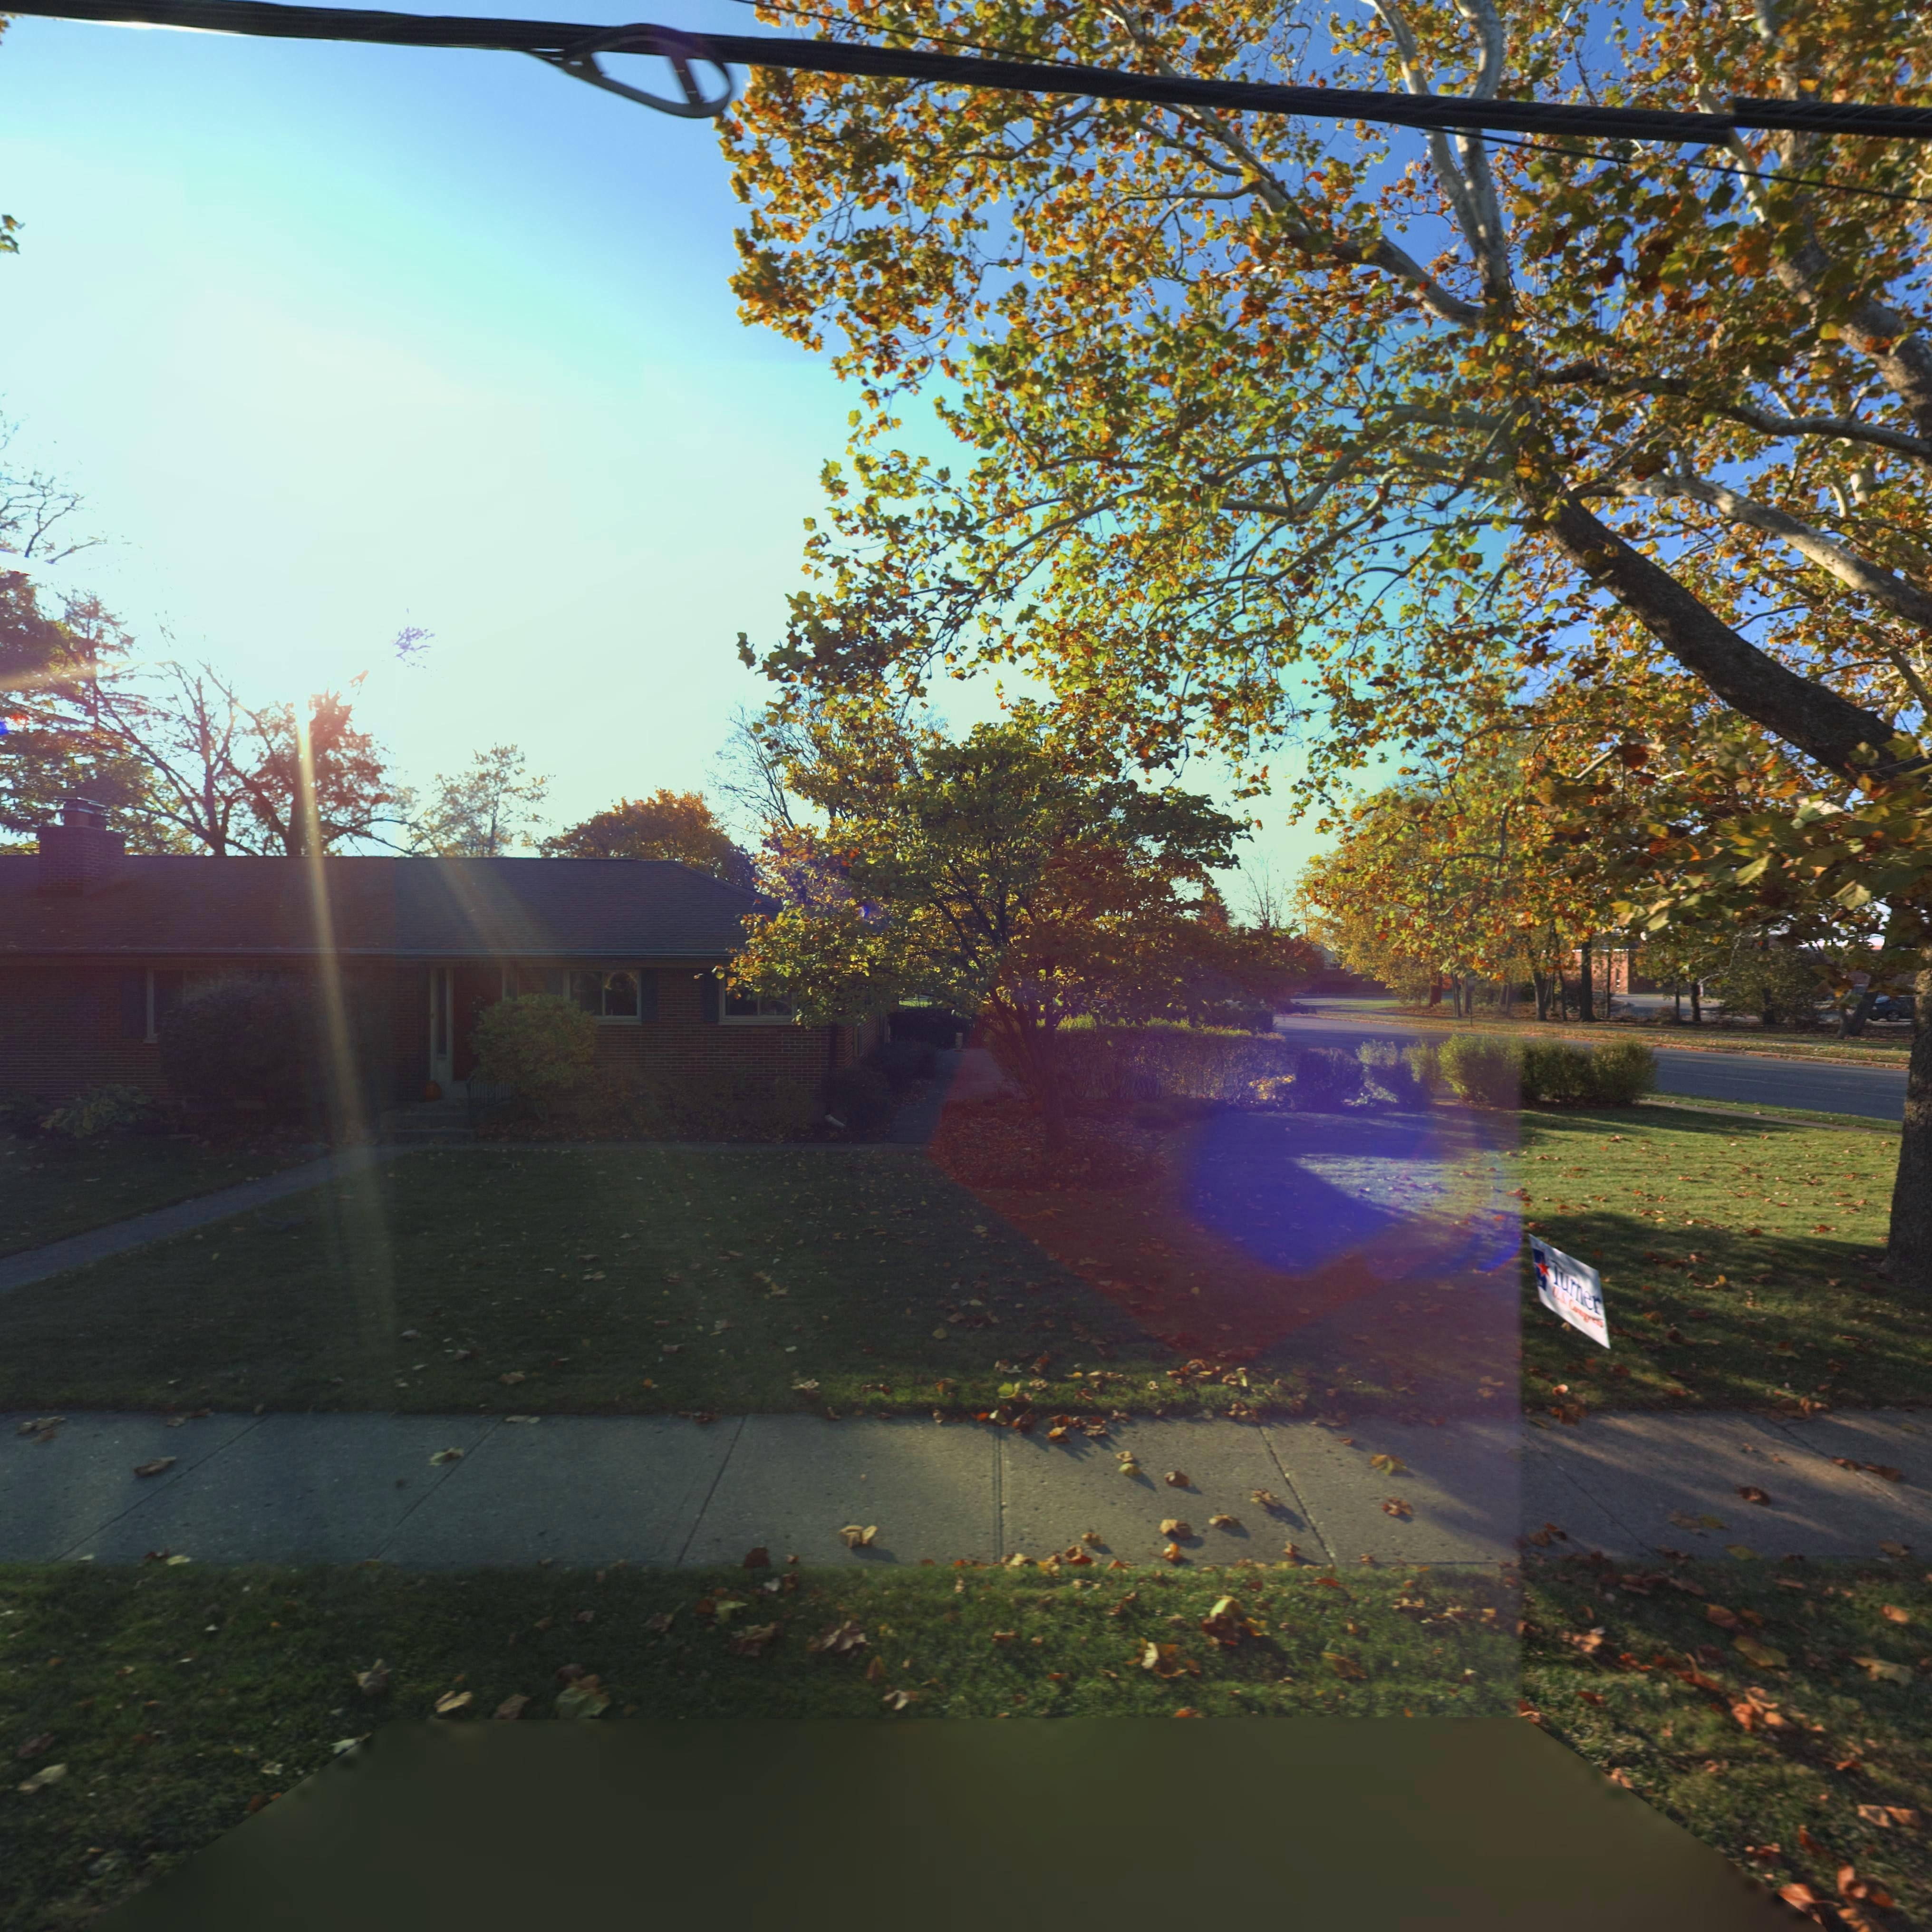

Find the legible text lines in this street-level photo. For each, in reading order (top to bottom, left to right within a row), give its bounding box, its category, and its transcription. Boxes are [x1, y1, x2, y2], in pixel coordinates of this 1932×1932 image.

[457, 960, 486, 967] StreetNumber: 3451